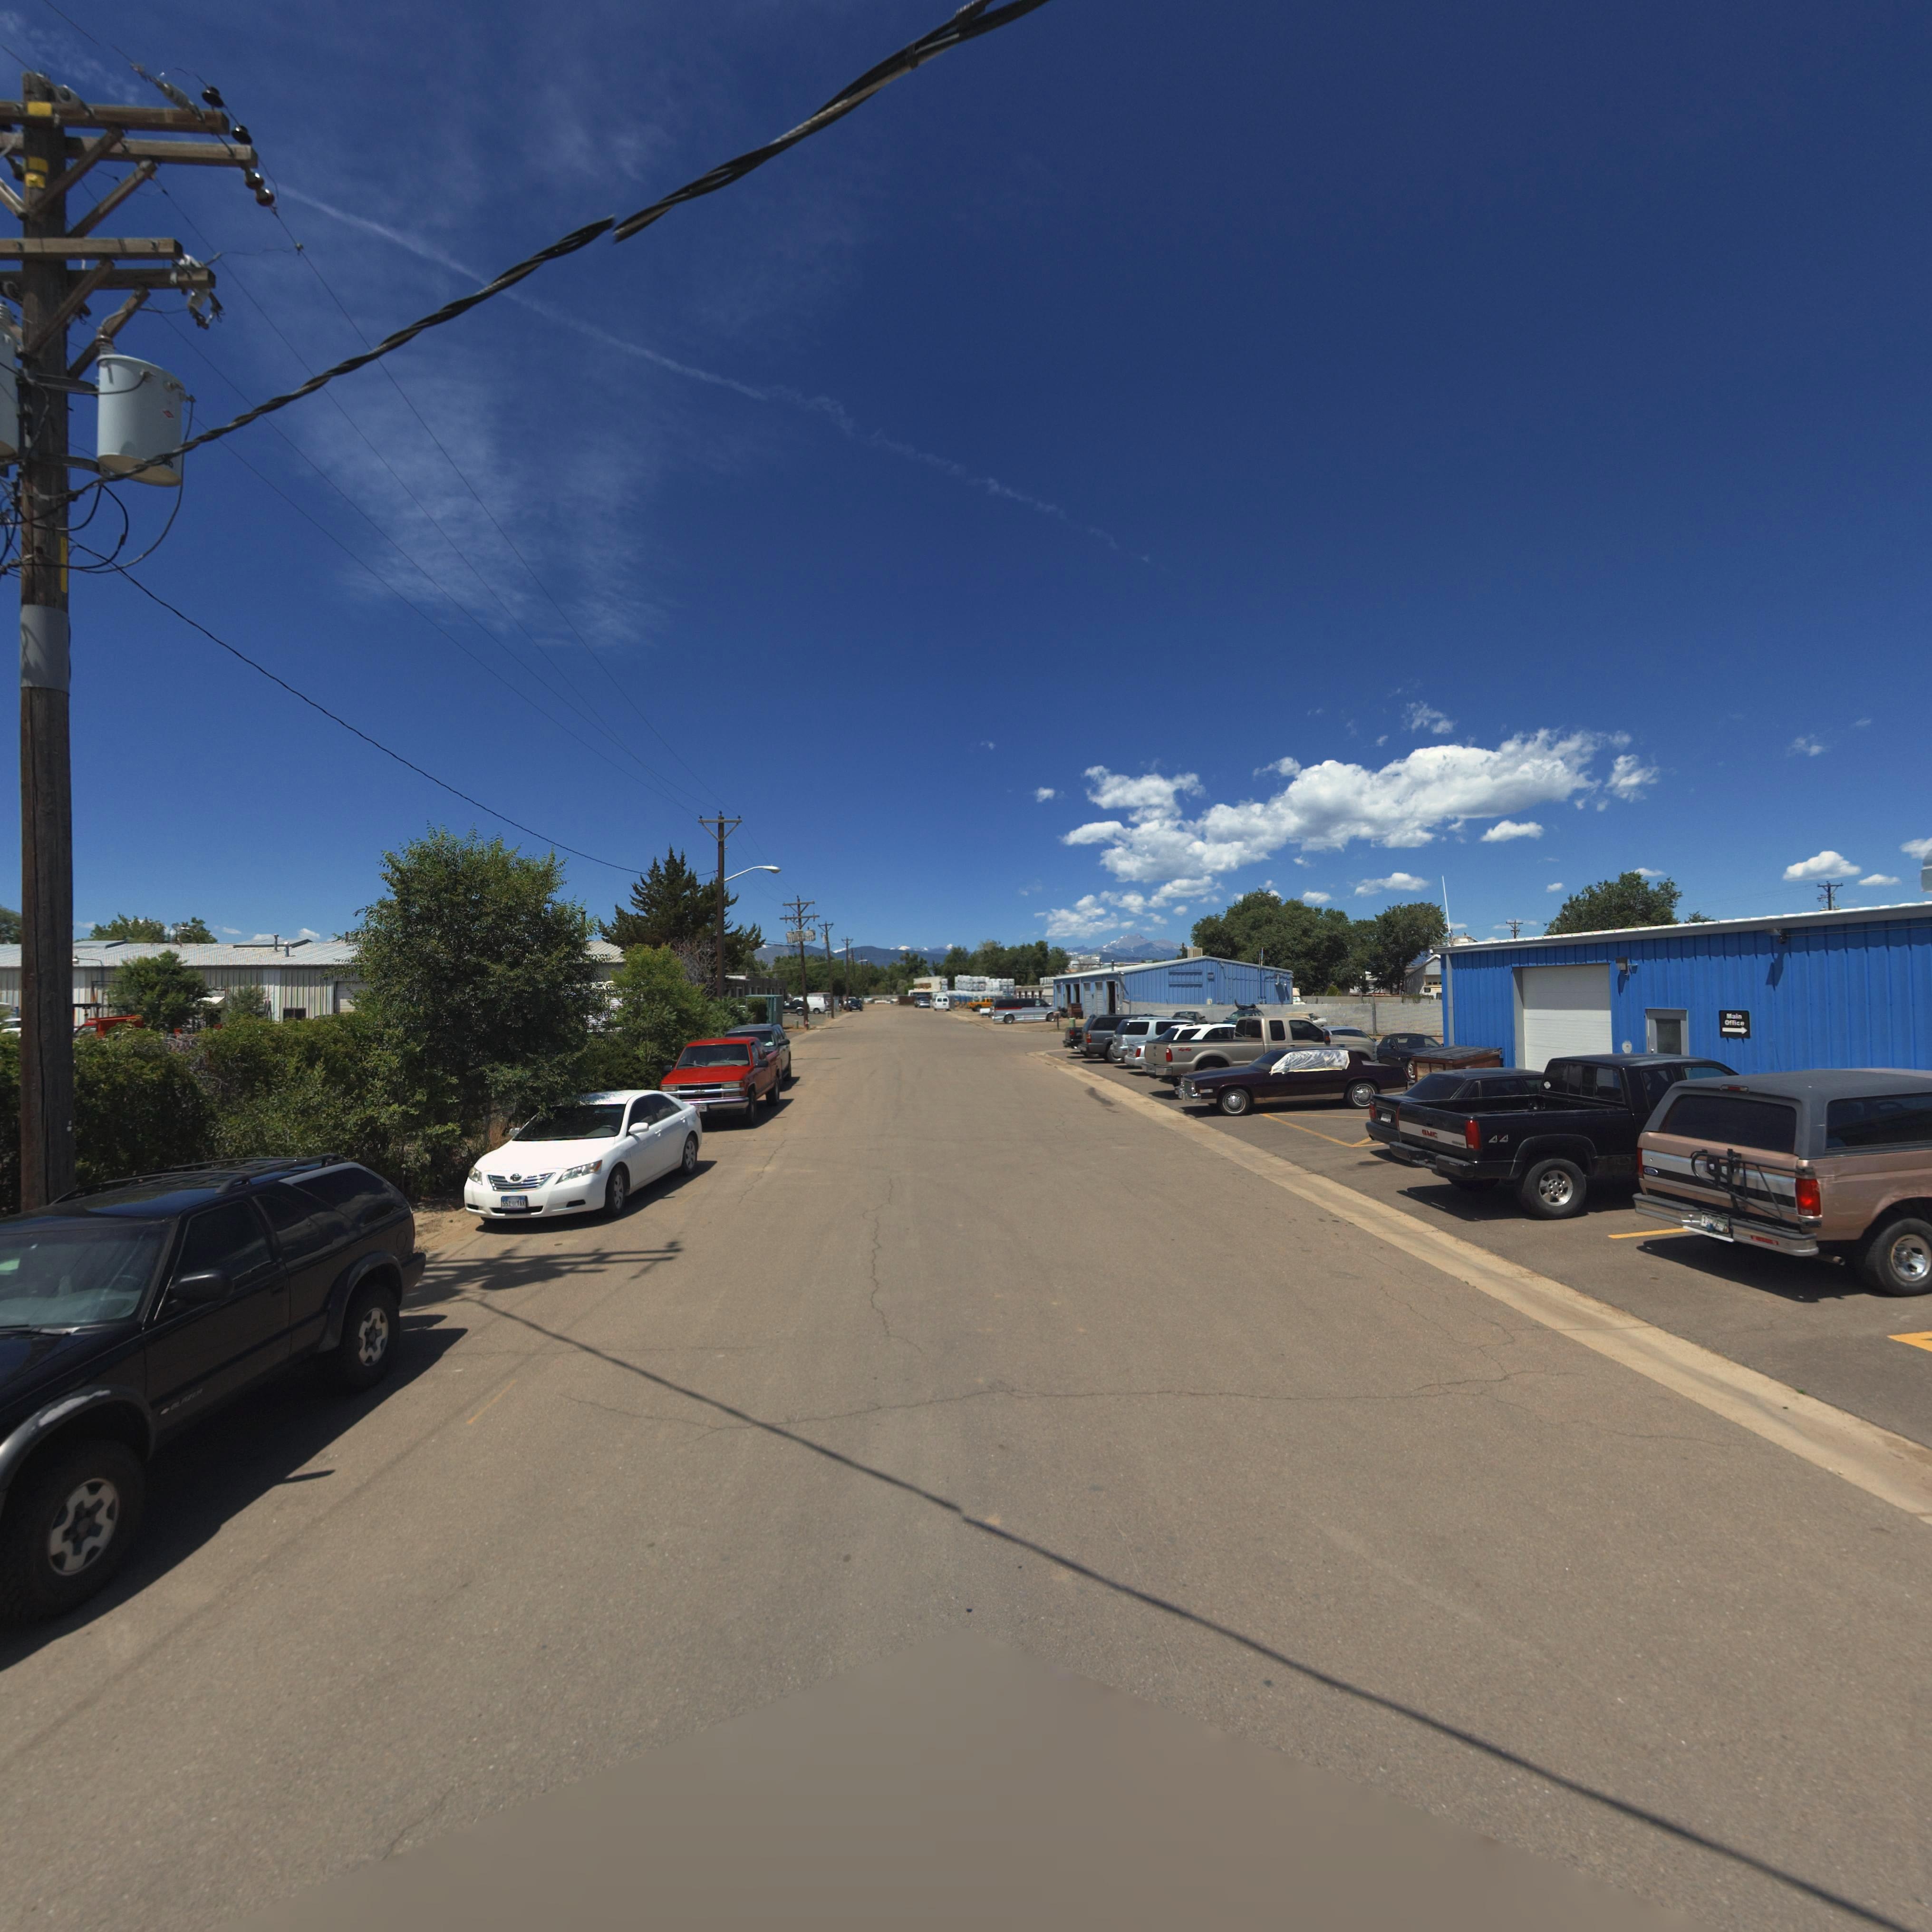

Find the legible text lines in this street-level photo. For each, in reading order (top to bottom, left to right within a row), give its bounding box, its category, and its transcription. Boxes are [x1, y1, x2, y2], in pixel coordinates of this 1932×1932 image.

[1490, 1134, 1509, 1144] StreetNumber: 44